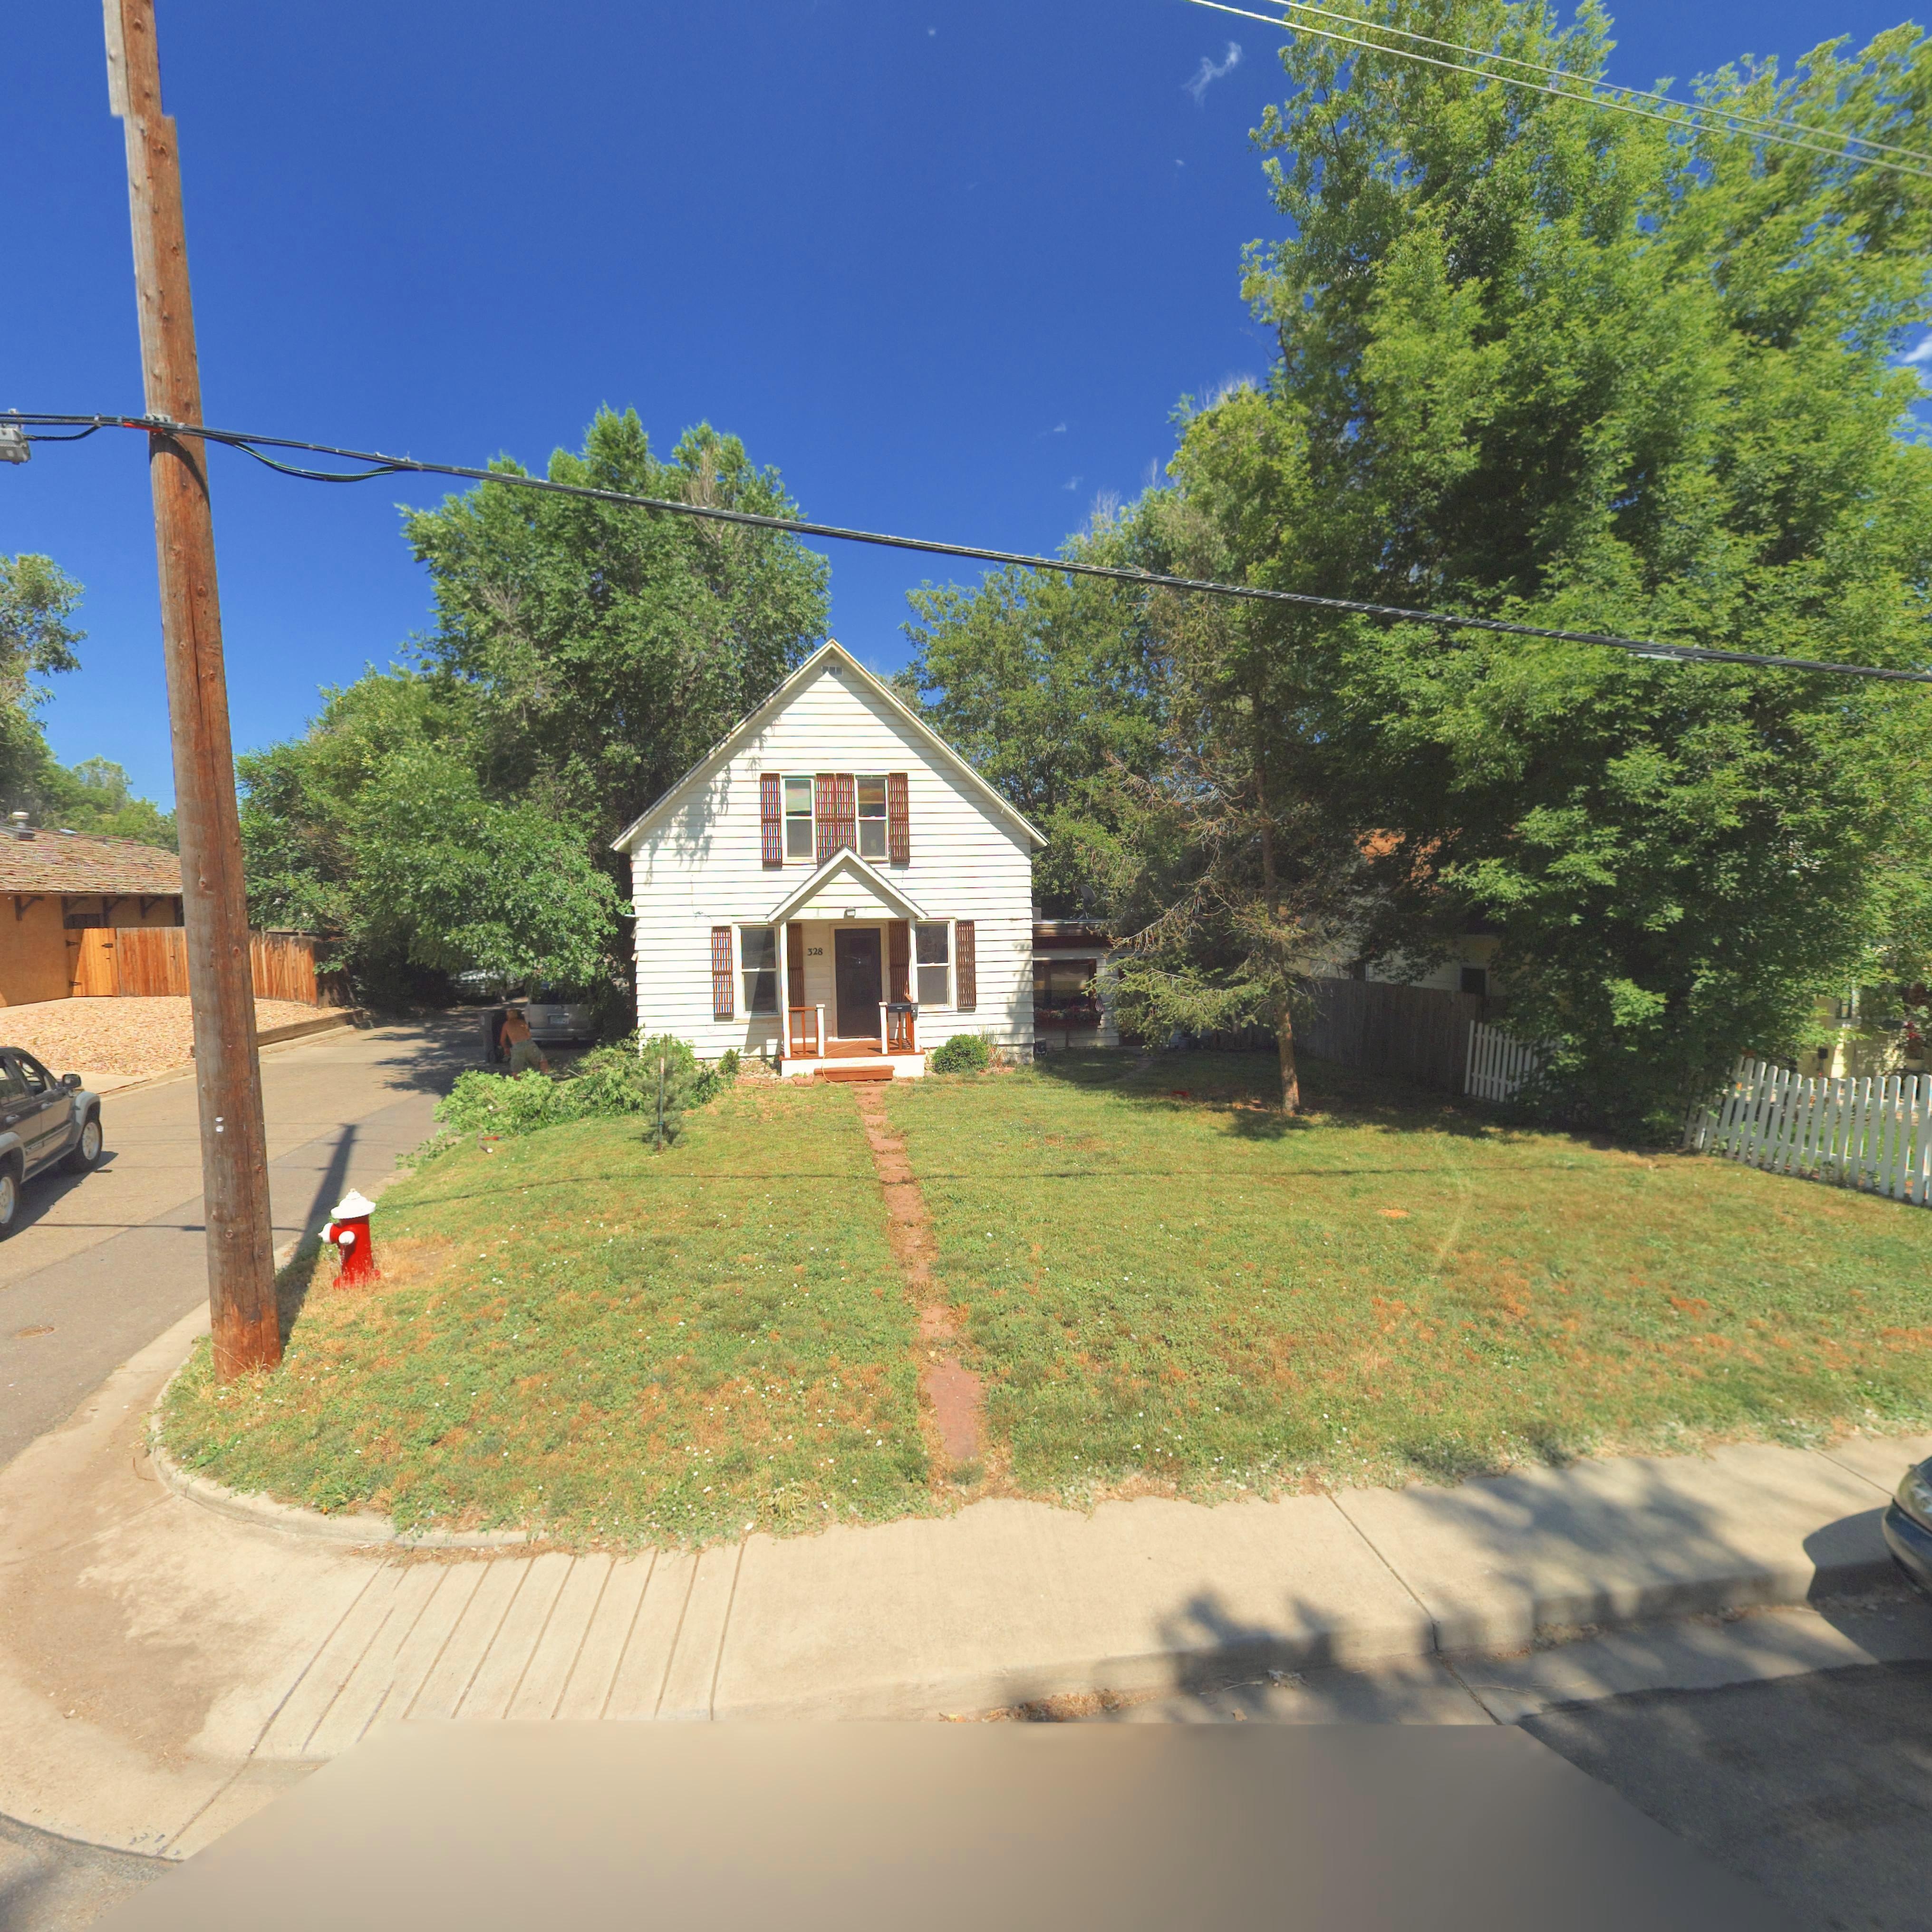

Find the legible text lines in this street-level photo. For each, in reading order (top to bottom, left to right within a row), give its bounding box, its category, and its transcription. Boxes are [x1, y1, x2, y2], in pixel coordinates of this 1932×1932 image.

[807, 947, 823, 956] StreetNumber: 328